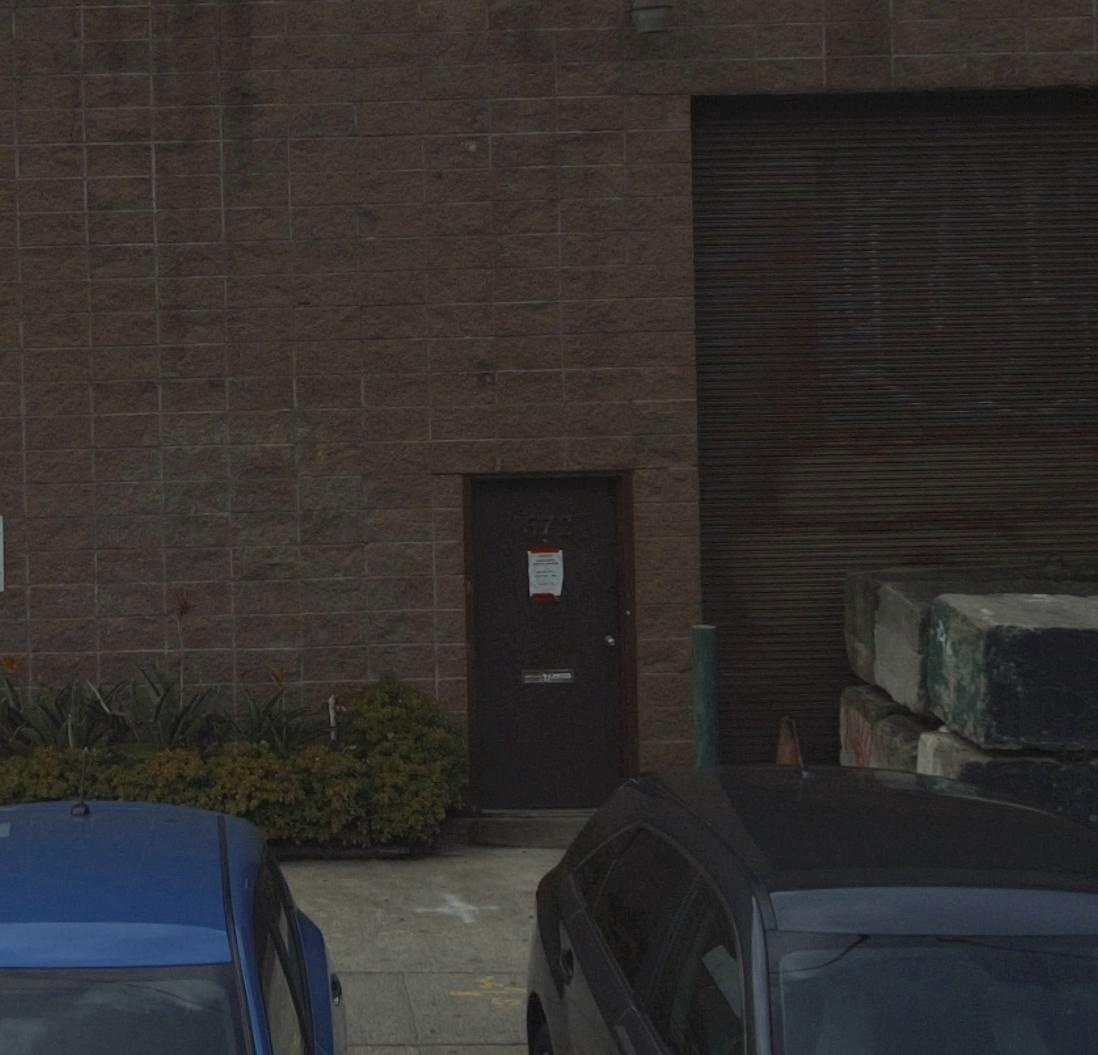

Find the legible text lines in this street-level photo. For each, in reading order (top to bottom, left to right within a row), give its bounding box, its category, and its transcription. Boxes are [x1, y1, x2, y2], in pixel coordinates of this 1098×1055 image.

[521, 513, 572, 538] StreetNumber: 672